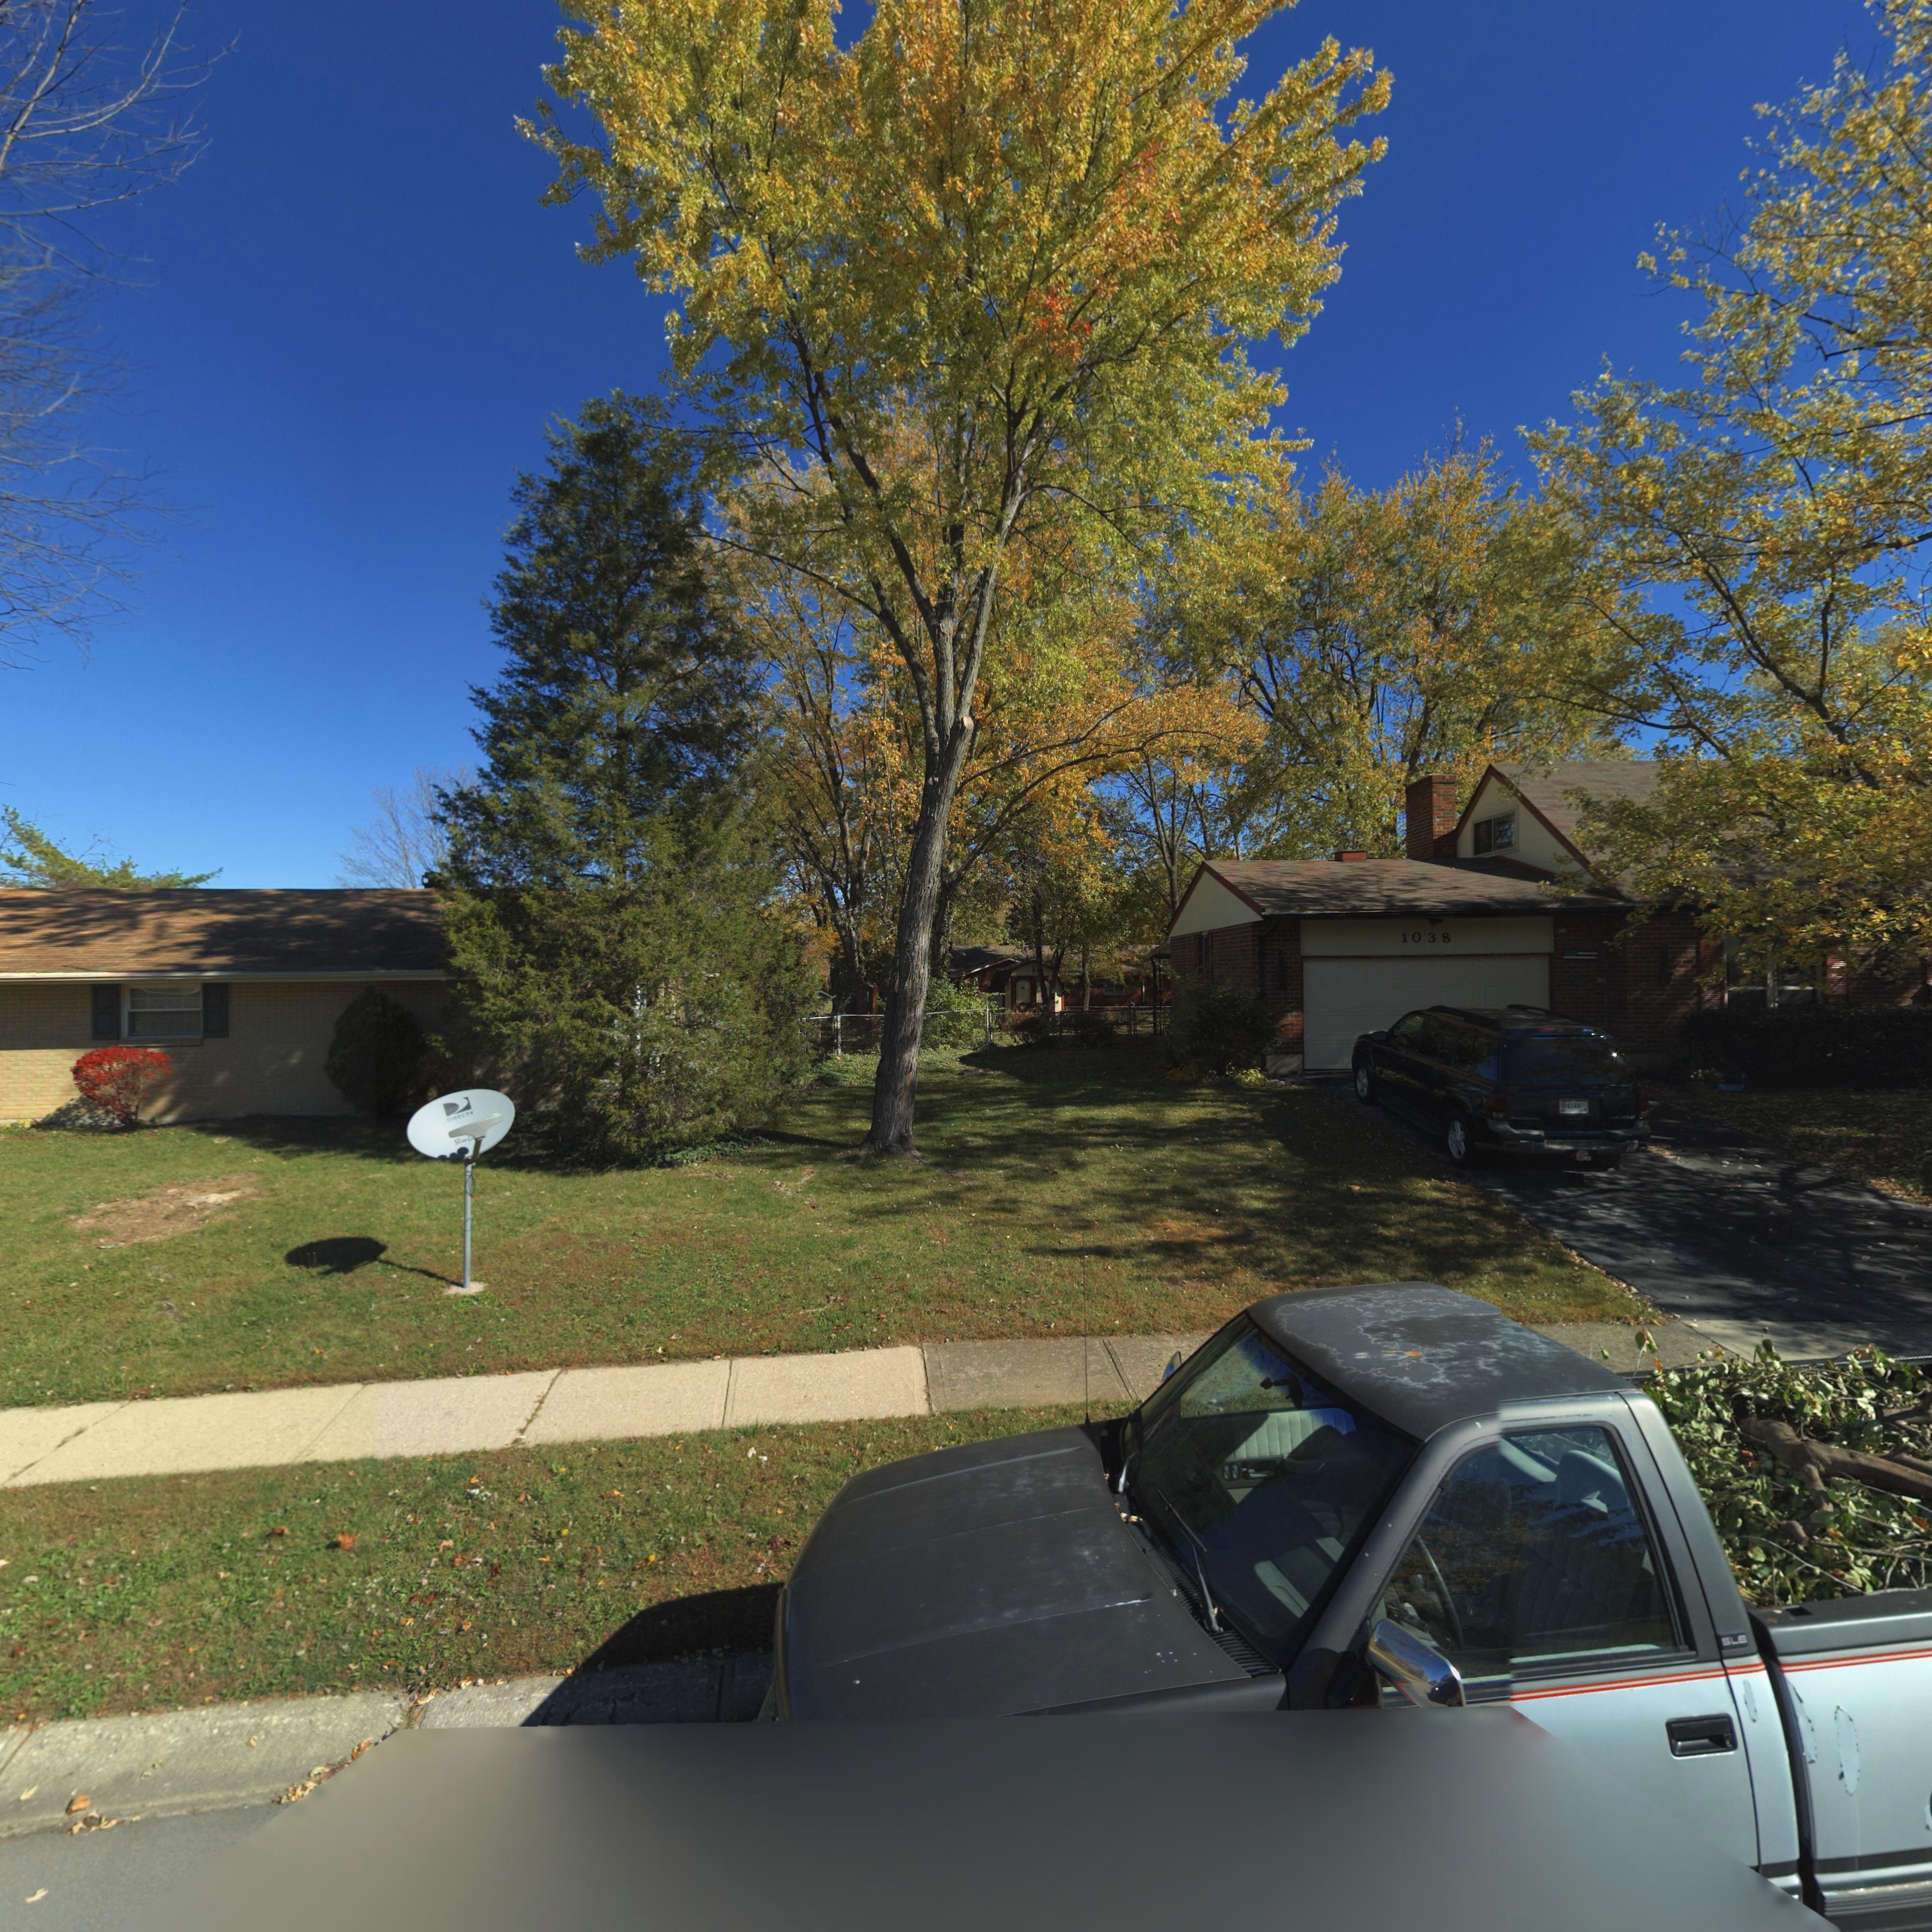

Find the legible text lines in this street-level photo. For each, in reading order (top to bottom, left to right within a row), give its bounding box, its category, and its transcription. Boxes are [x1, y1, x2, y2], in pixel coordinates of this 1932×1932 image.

[1400, 931, 1452, 944] StreetNumber: 1038